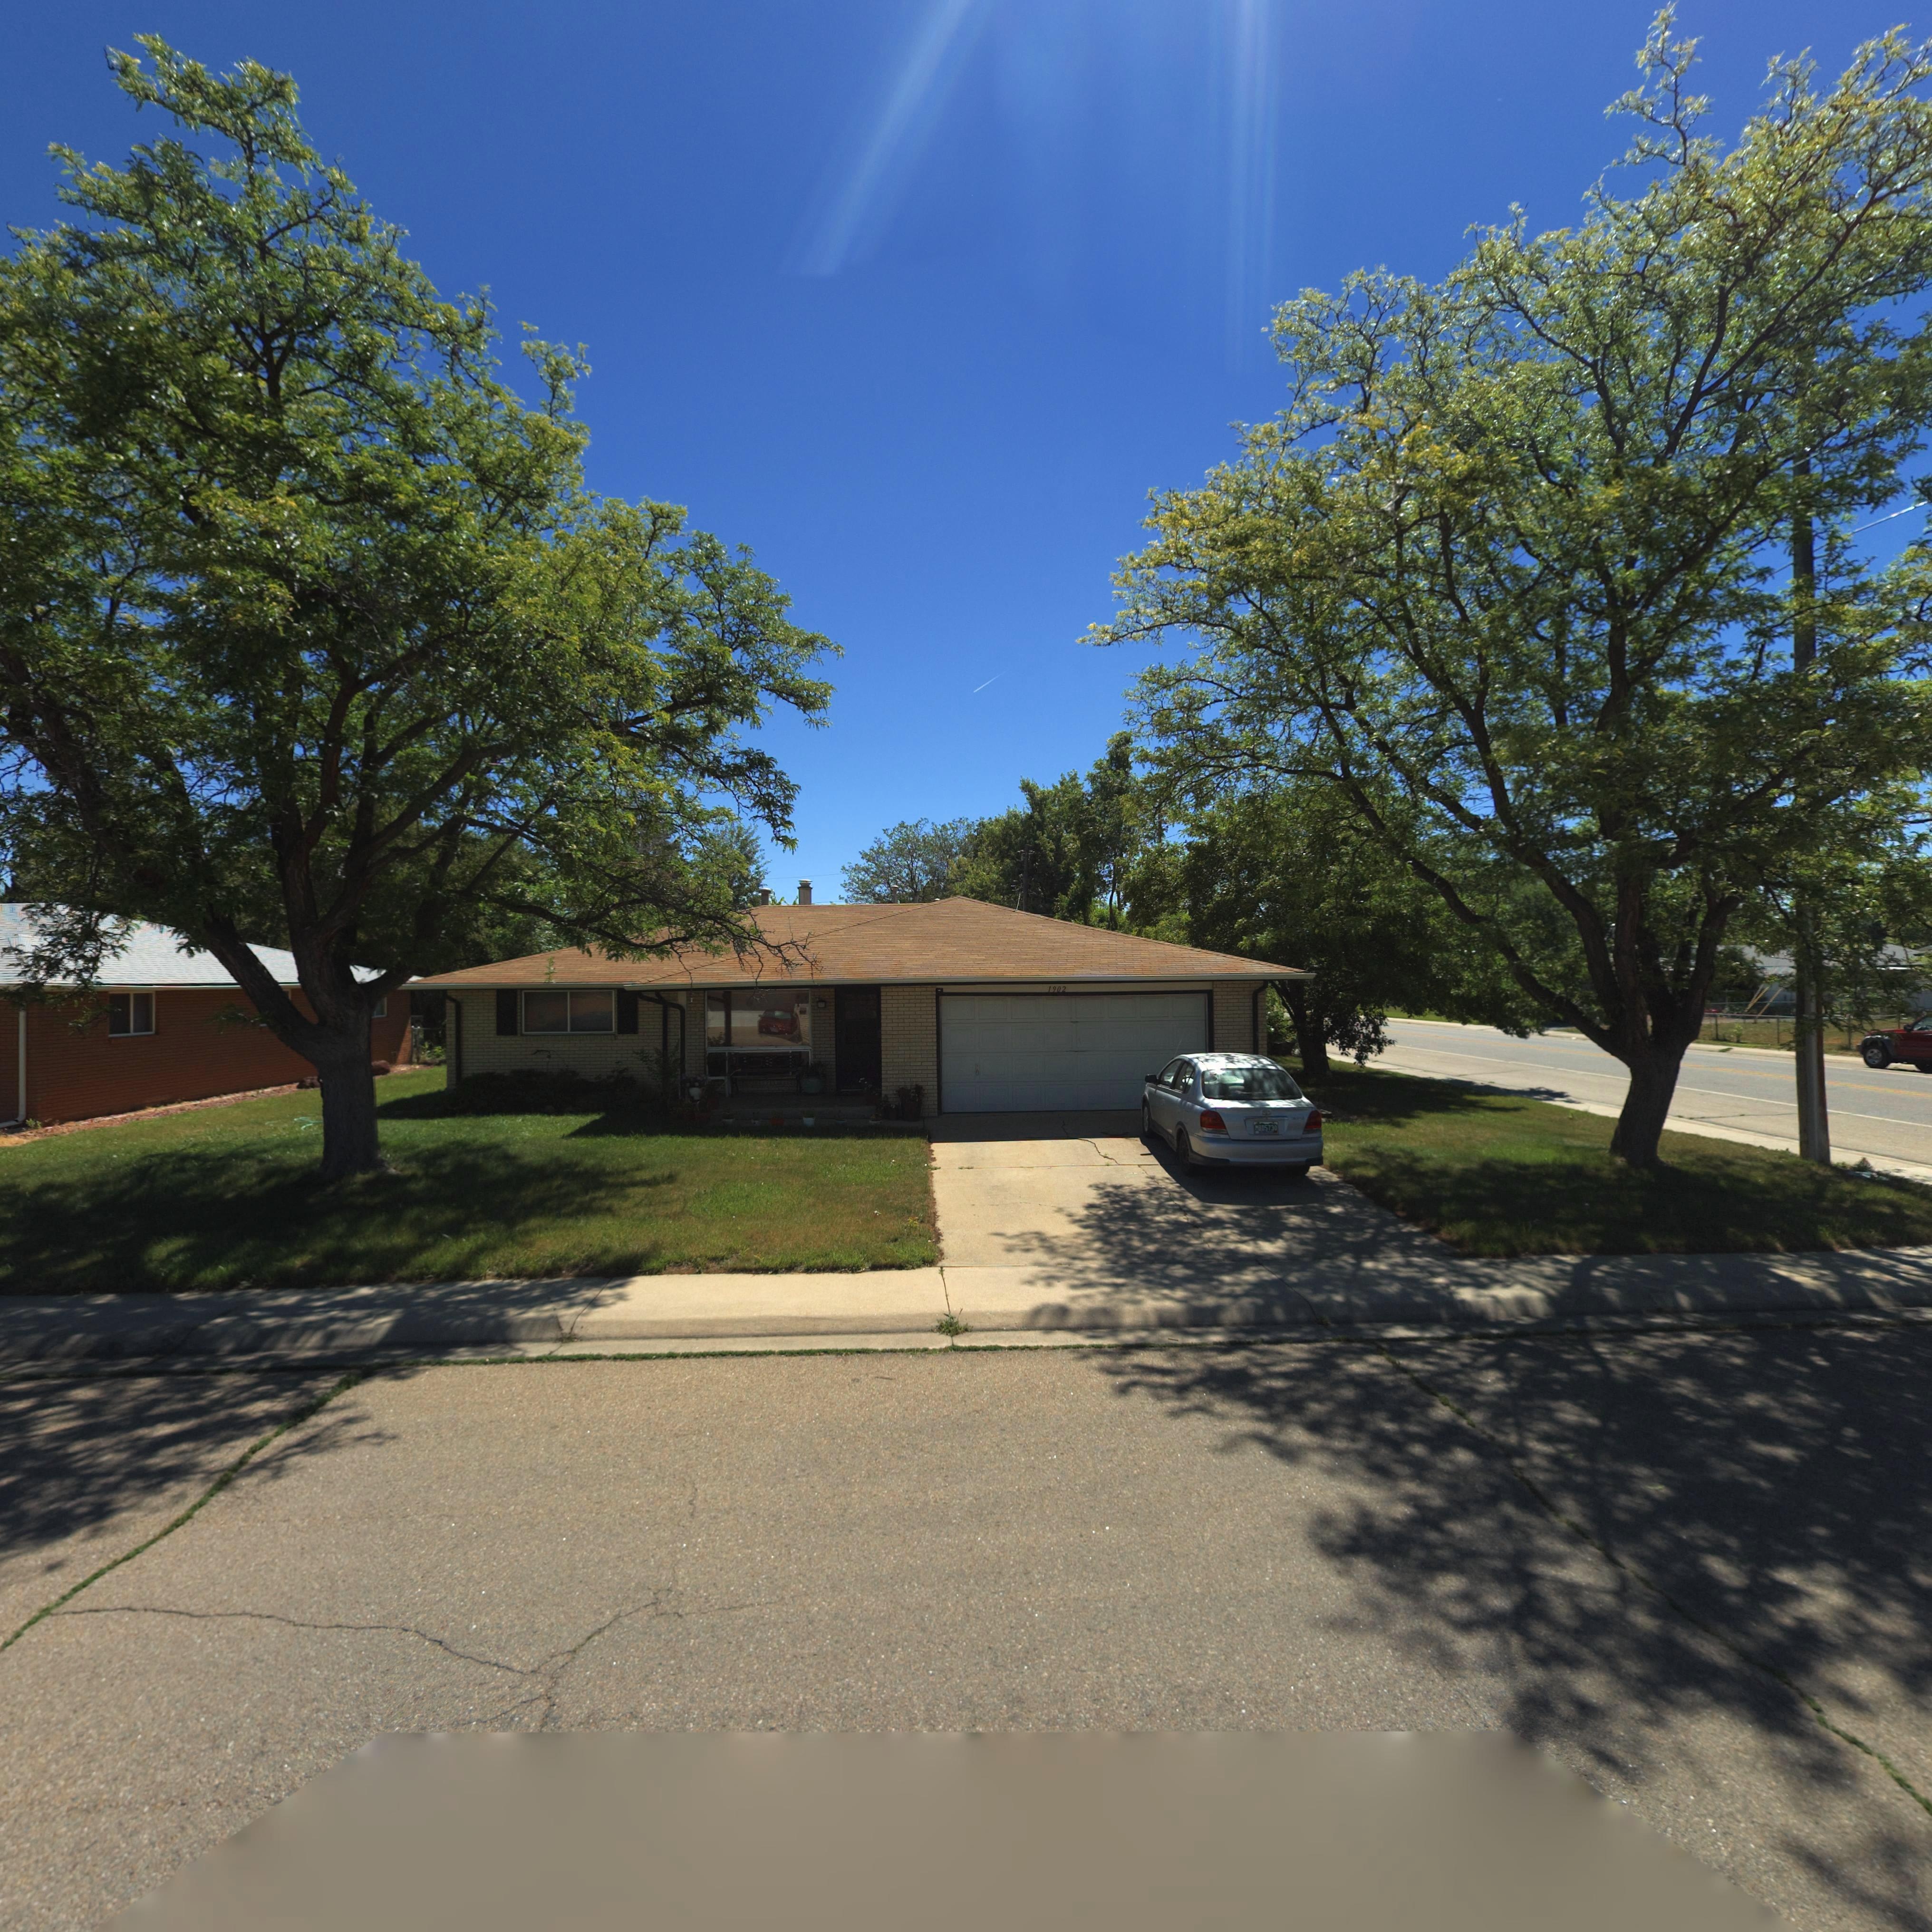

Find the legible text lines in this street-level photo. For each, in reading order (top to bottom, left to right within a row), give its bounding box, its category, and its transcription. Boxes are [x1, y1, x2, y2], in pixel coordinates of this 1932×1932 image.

[1048, 985, 1066, 992] StreetNumber: 1902